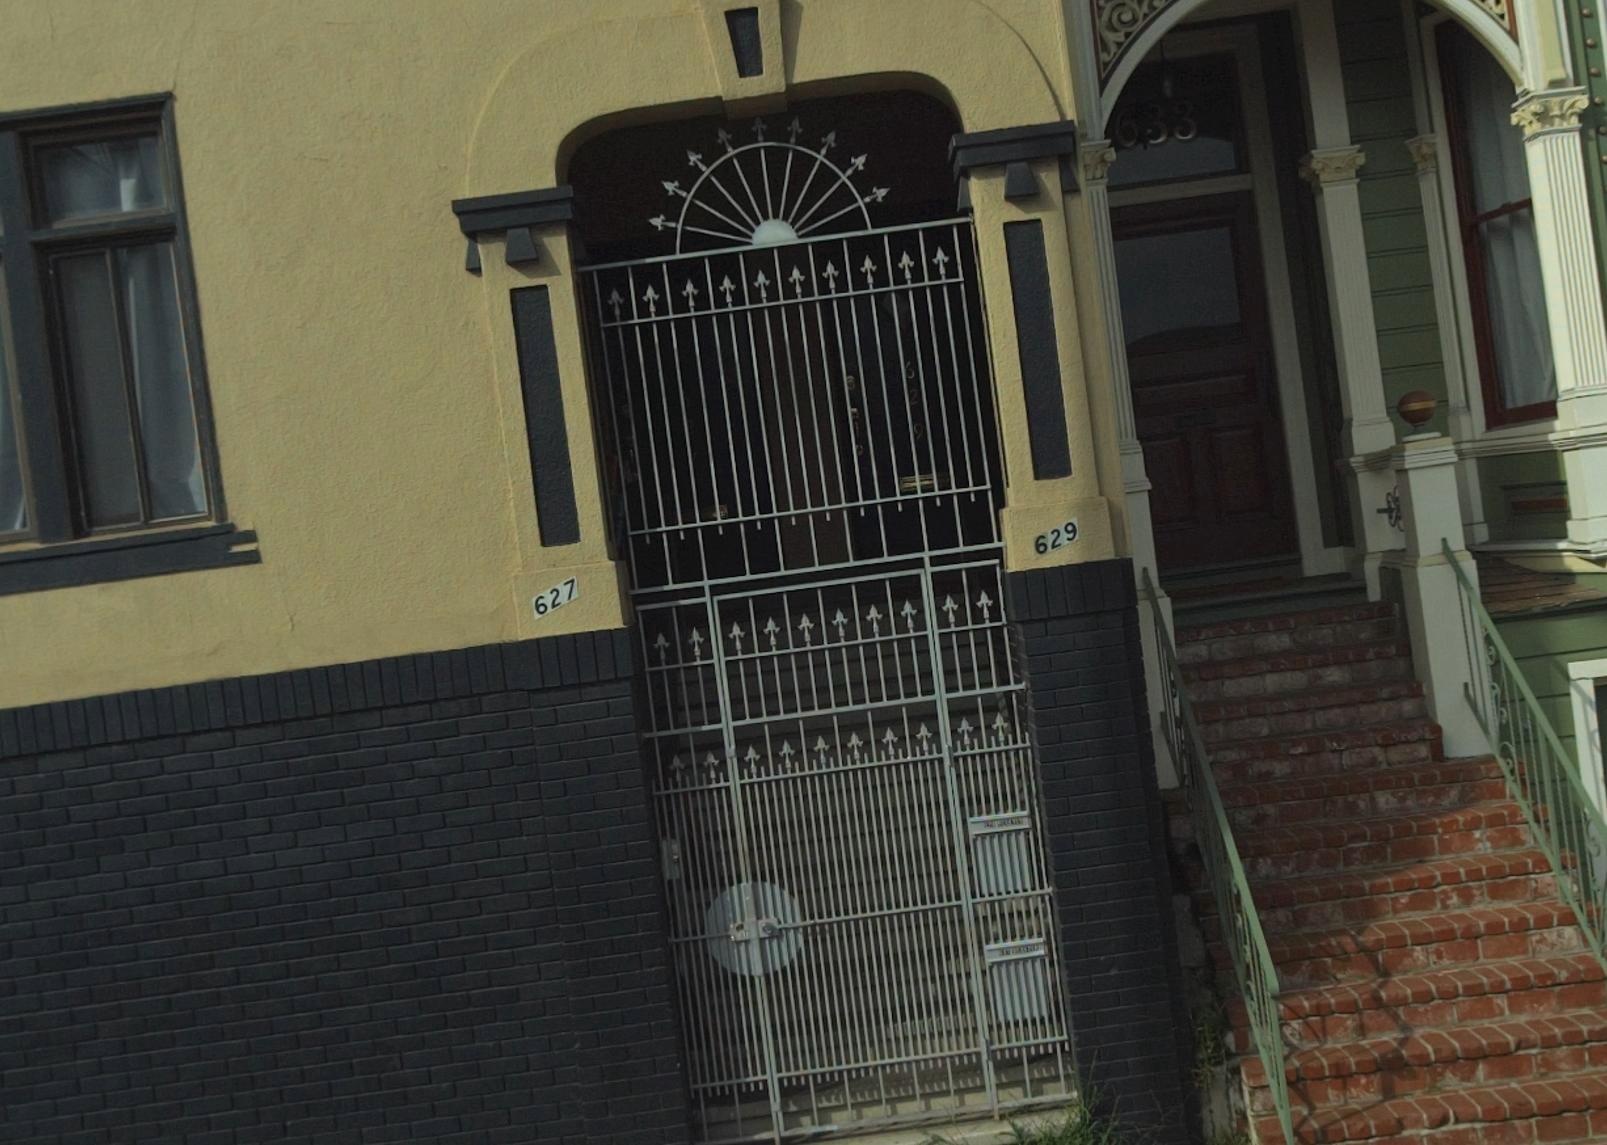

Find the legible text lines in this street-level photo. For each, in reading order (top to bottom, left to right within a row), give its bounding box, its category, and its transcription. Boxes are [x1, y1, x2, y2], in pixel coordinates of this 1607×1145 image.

[1111, 93, 1203, 152] StreetNumber: 633
[901, 356, 928, 444] StreetNumber: 629
[1033, 514, 1079, 561] StreetNumber: 629
[531, 572, 577, 623] StreetNumber: 627